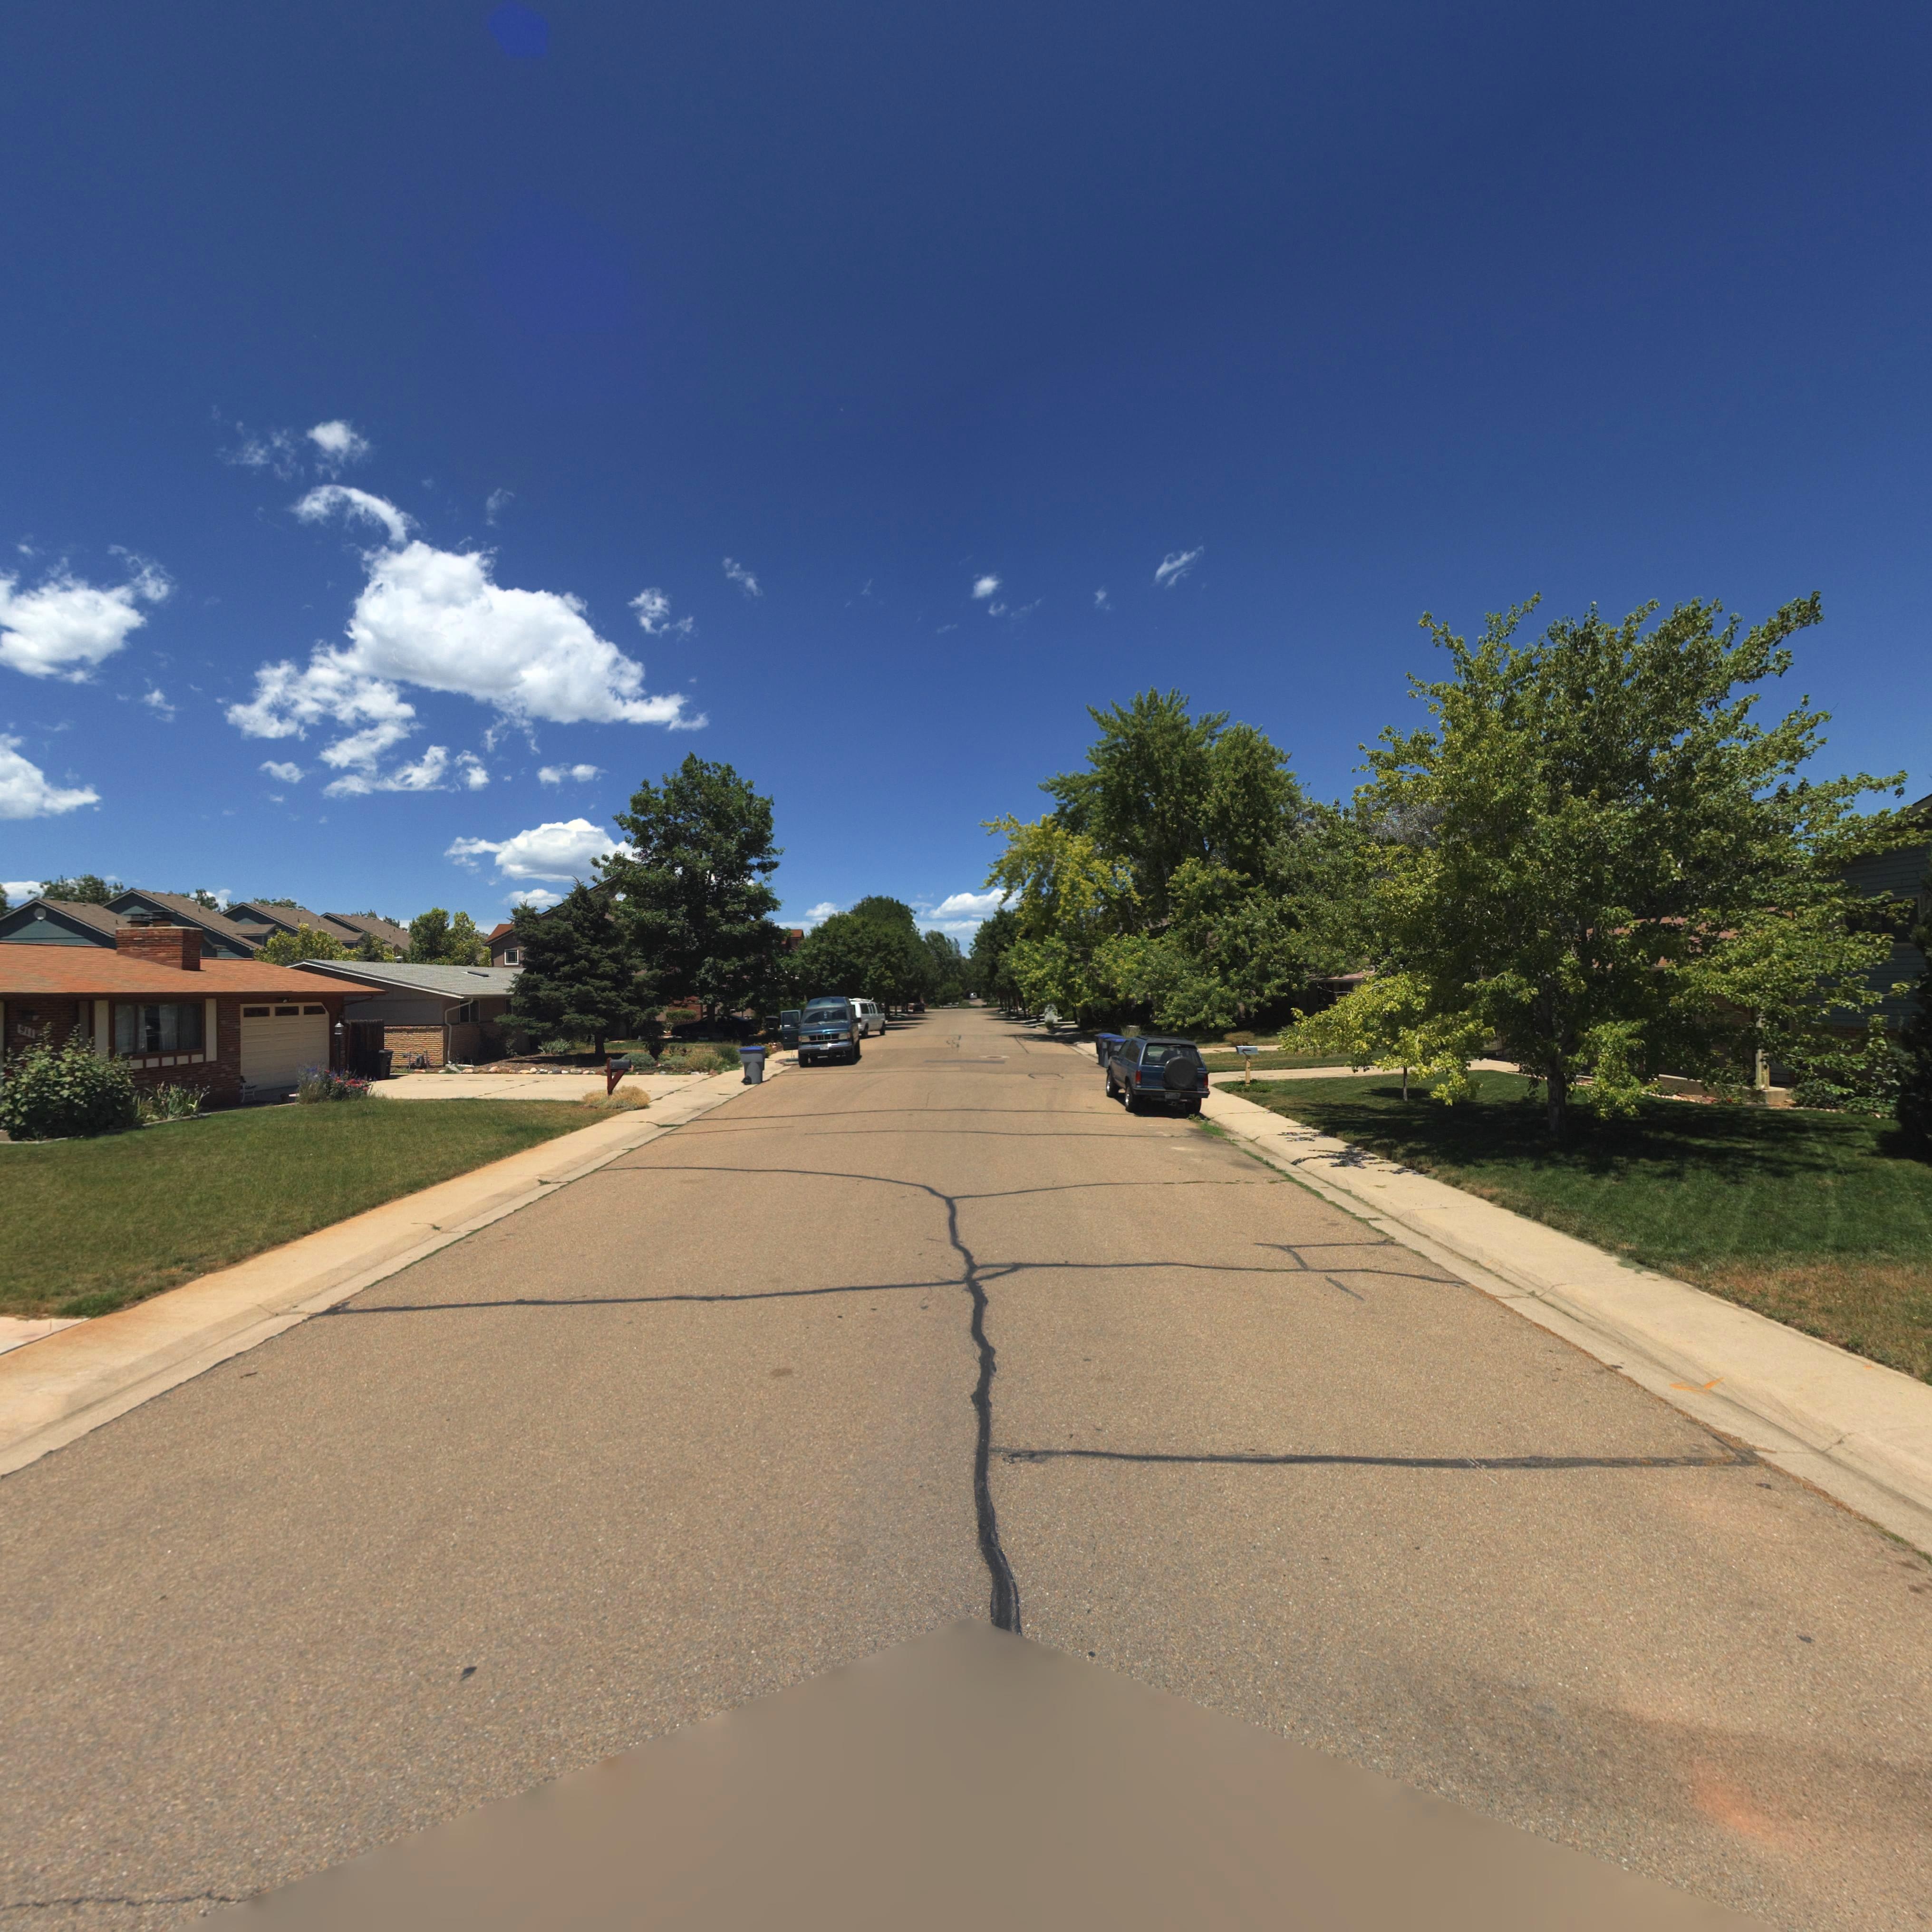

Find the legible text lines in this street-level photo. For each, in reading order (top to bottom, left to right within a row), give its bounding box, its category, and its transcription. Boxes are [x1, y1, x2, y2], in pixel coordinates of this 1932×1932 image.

[19, 1024, 33, 1037] StreetNumber: 911